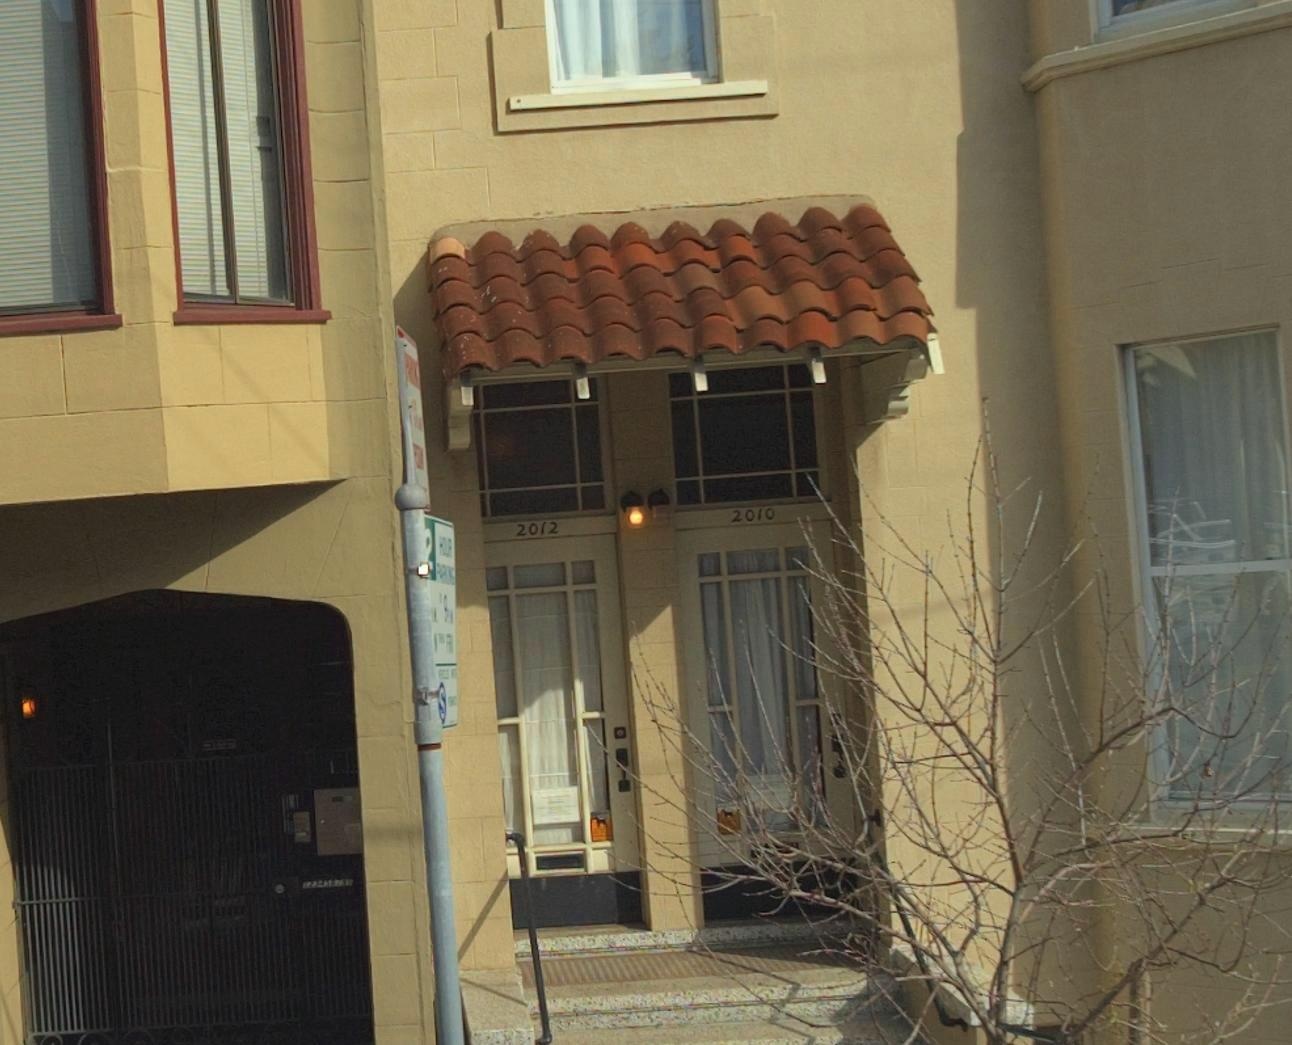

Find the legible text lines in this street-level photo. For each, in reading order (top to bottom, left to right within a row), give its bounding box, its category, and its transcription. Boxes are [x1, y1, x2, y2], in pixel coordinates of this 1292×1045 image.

[729, 505, 778, 525] StreetNumber: 2010
[513, 519, 560, 539] StreetNumber: 2012
[437, 683, 448, 722] None: S